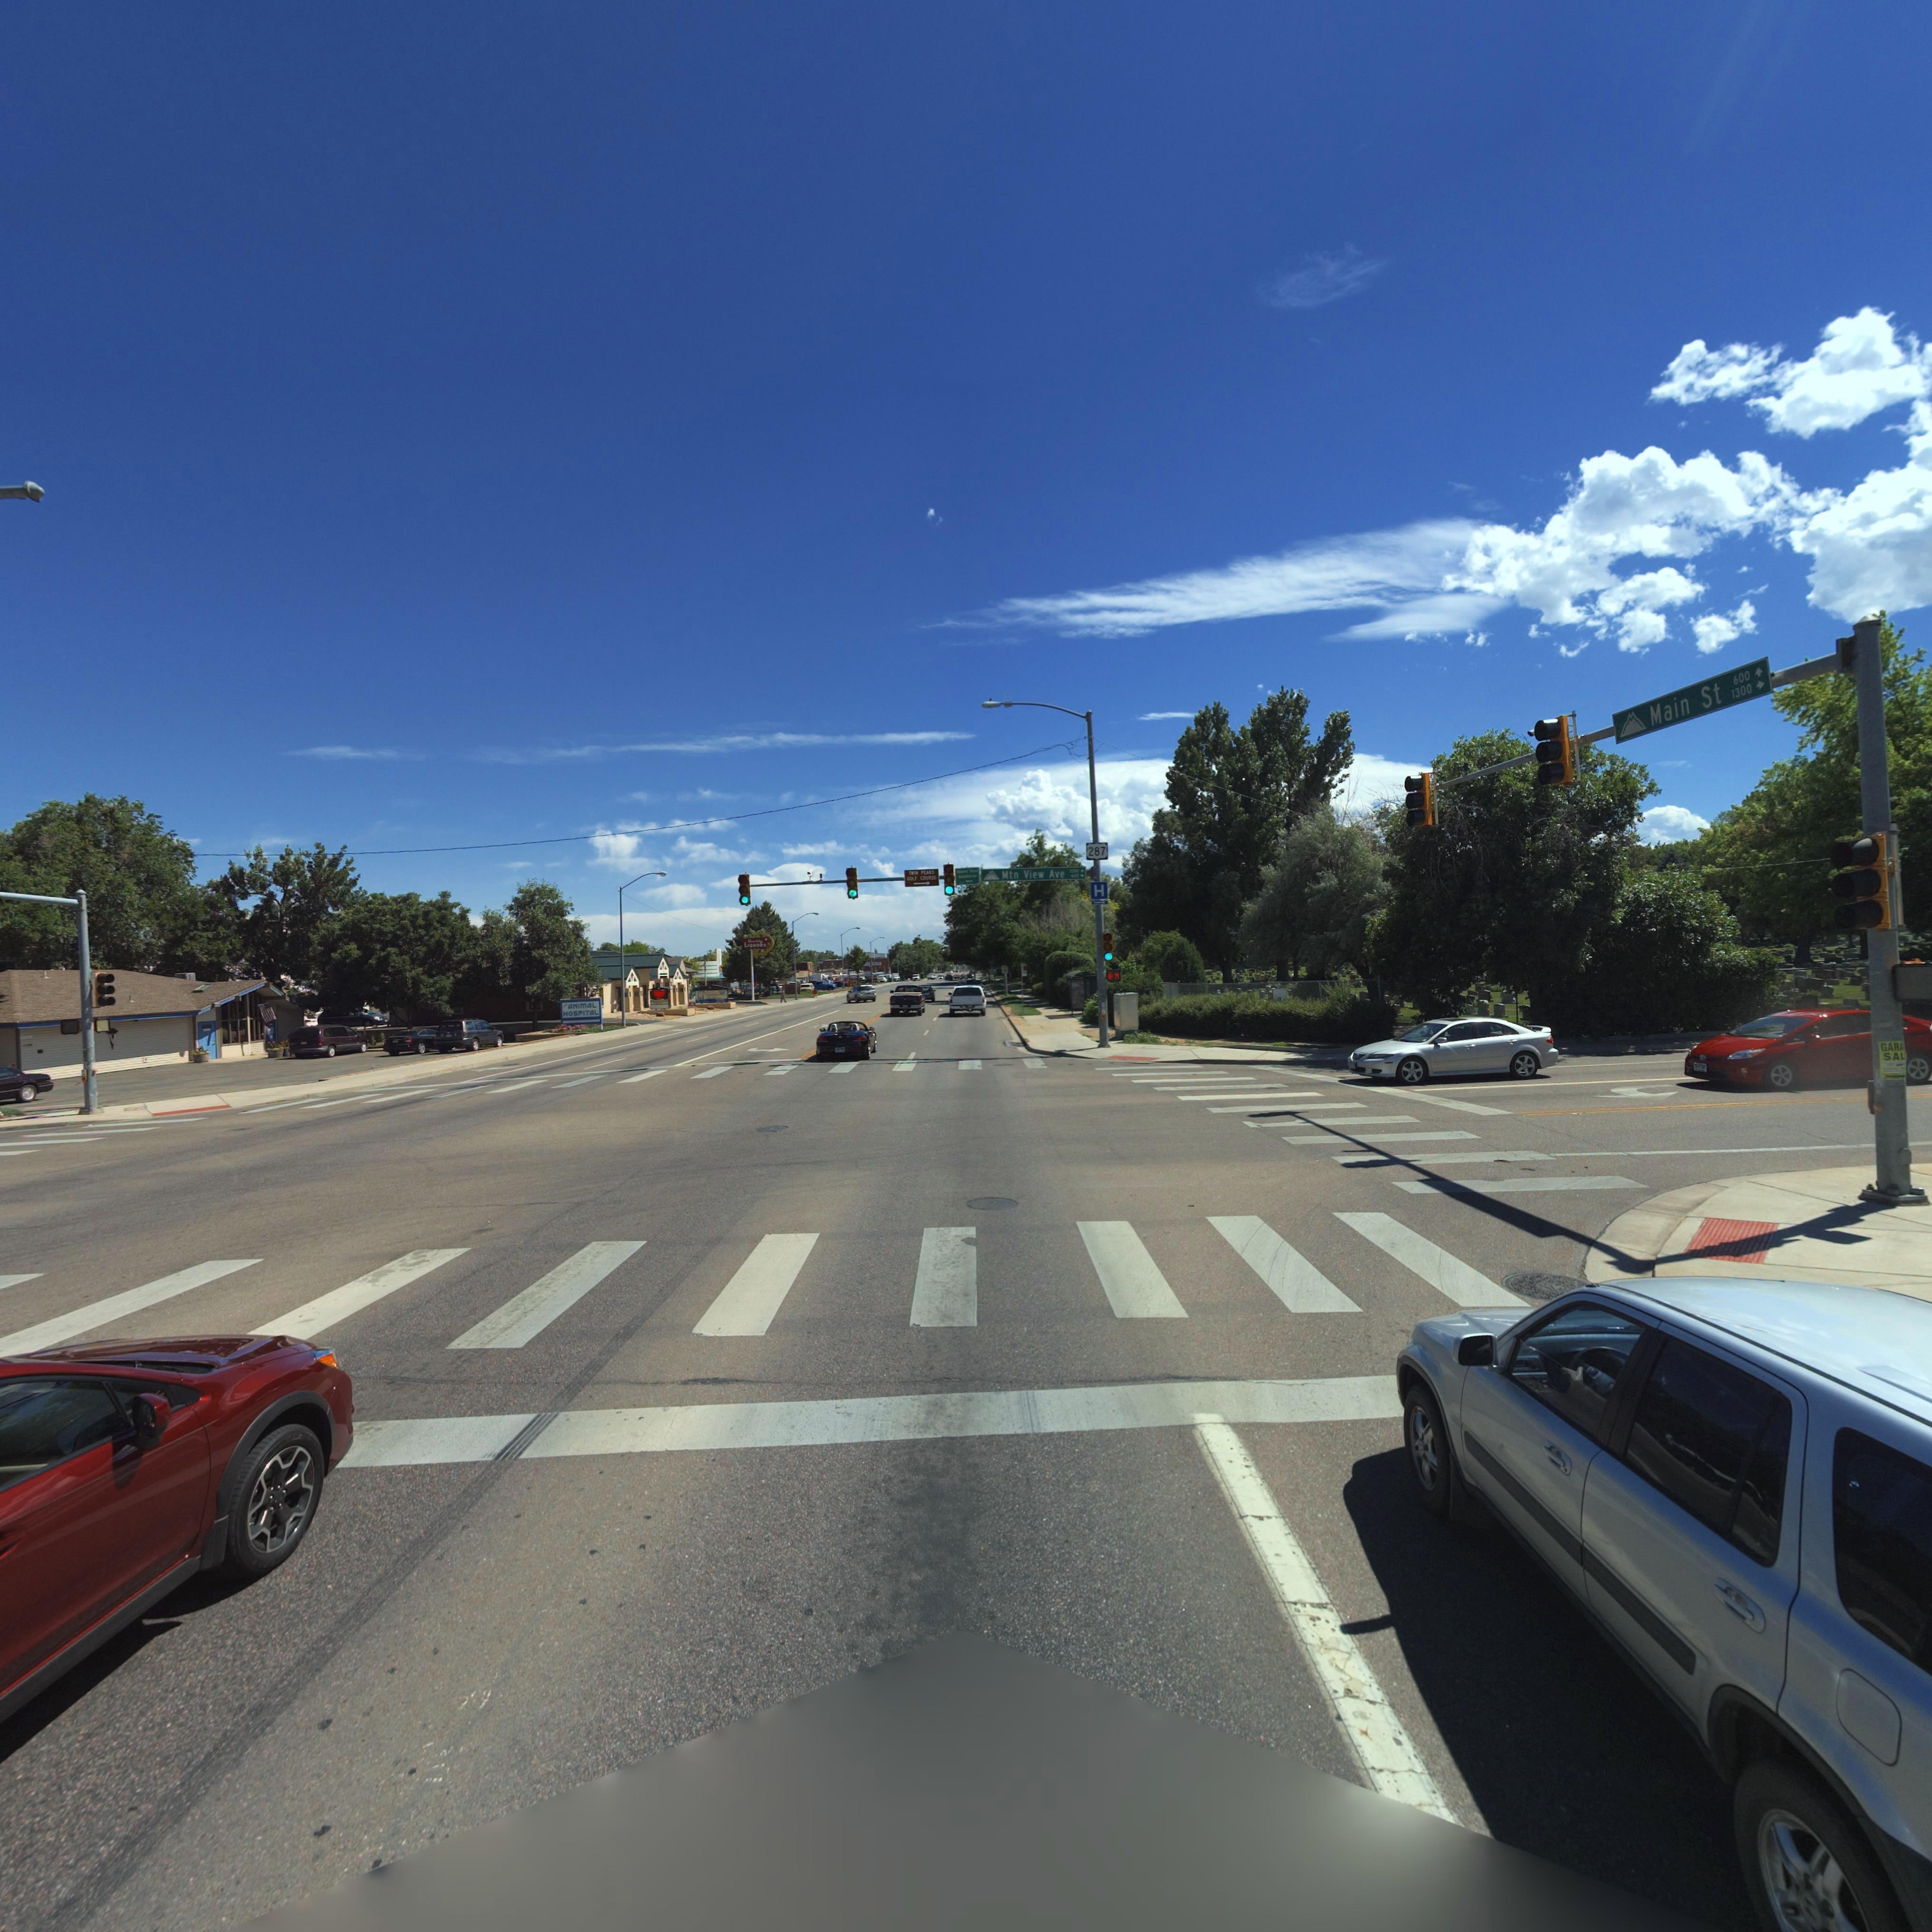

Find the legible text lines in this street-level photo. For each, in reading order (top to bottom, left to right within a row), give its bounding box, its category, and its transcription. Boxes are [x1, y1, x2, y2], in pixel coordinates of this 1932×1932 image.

[1731, 670, 1751, 686] StreetNumberRange: 600
[1730, 679, 1766, 699] StreetNumberRange: 1300->
[1648, 682, 1723, 727] StreetName: Main St
[1001, 869, 1065, 879] StreetName: Mtn View Ave
[1069, 868, 1079, 873] StreetNumberRange: **00
[1070, 873, 1079, 878] StreetNumberRange: 600
[744, 942, 766, 947] BusinessName: LIQUORS
[747, 938, 763, 943] BusinessName: C*******